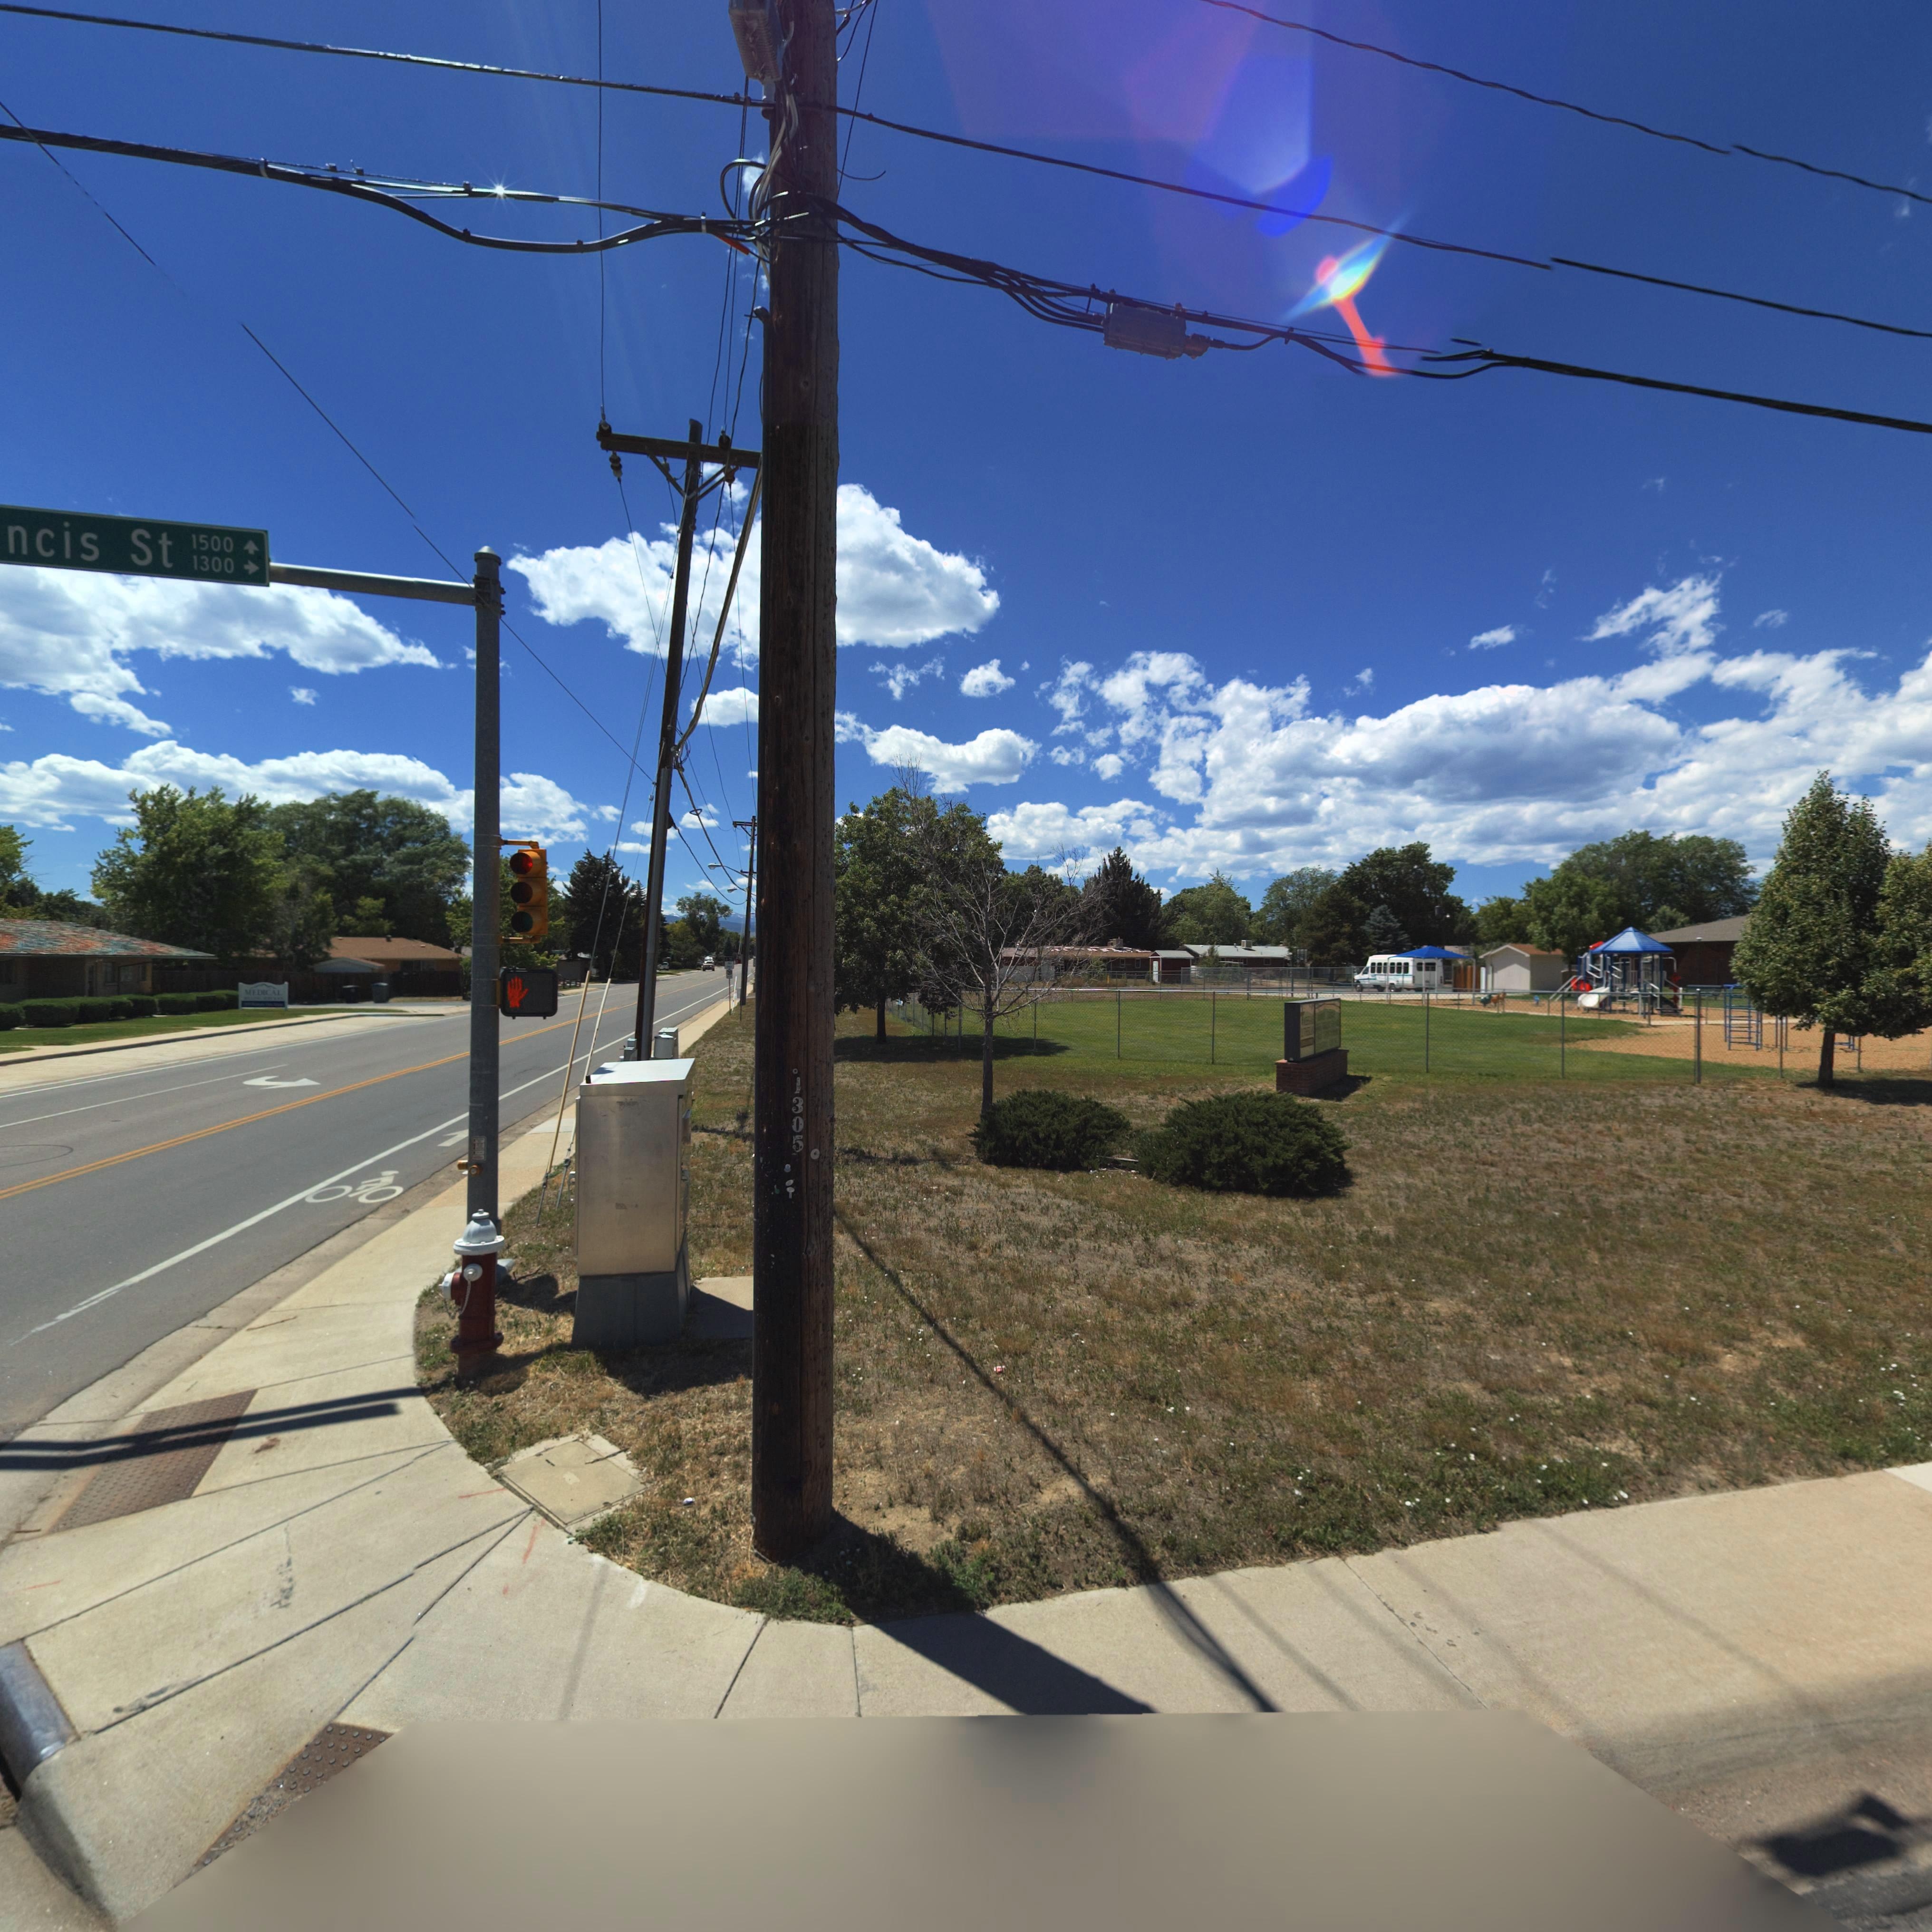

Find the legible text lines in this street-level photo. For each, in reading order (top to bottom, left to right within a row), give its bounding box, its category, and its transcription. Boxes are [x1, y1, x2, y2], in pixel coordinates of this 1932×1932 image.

[5, 520, 176, 570] StreetName: ncis St
[191, 533, 233, 553] StreetNumberRange: 1500
[192, 554, 262, 575] StreetNumberRange: 1300->
[792, 1074, 806, 1153] StreetNumber: 1305